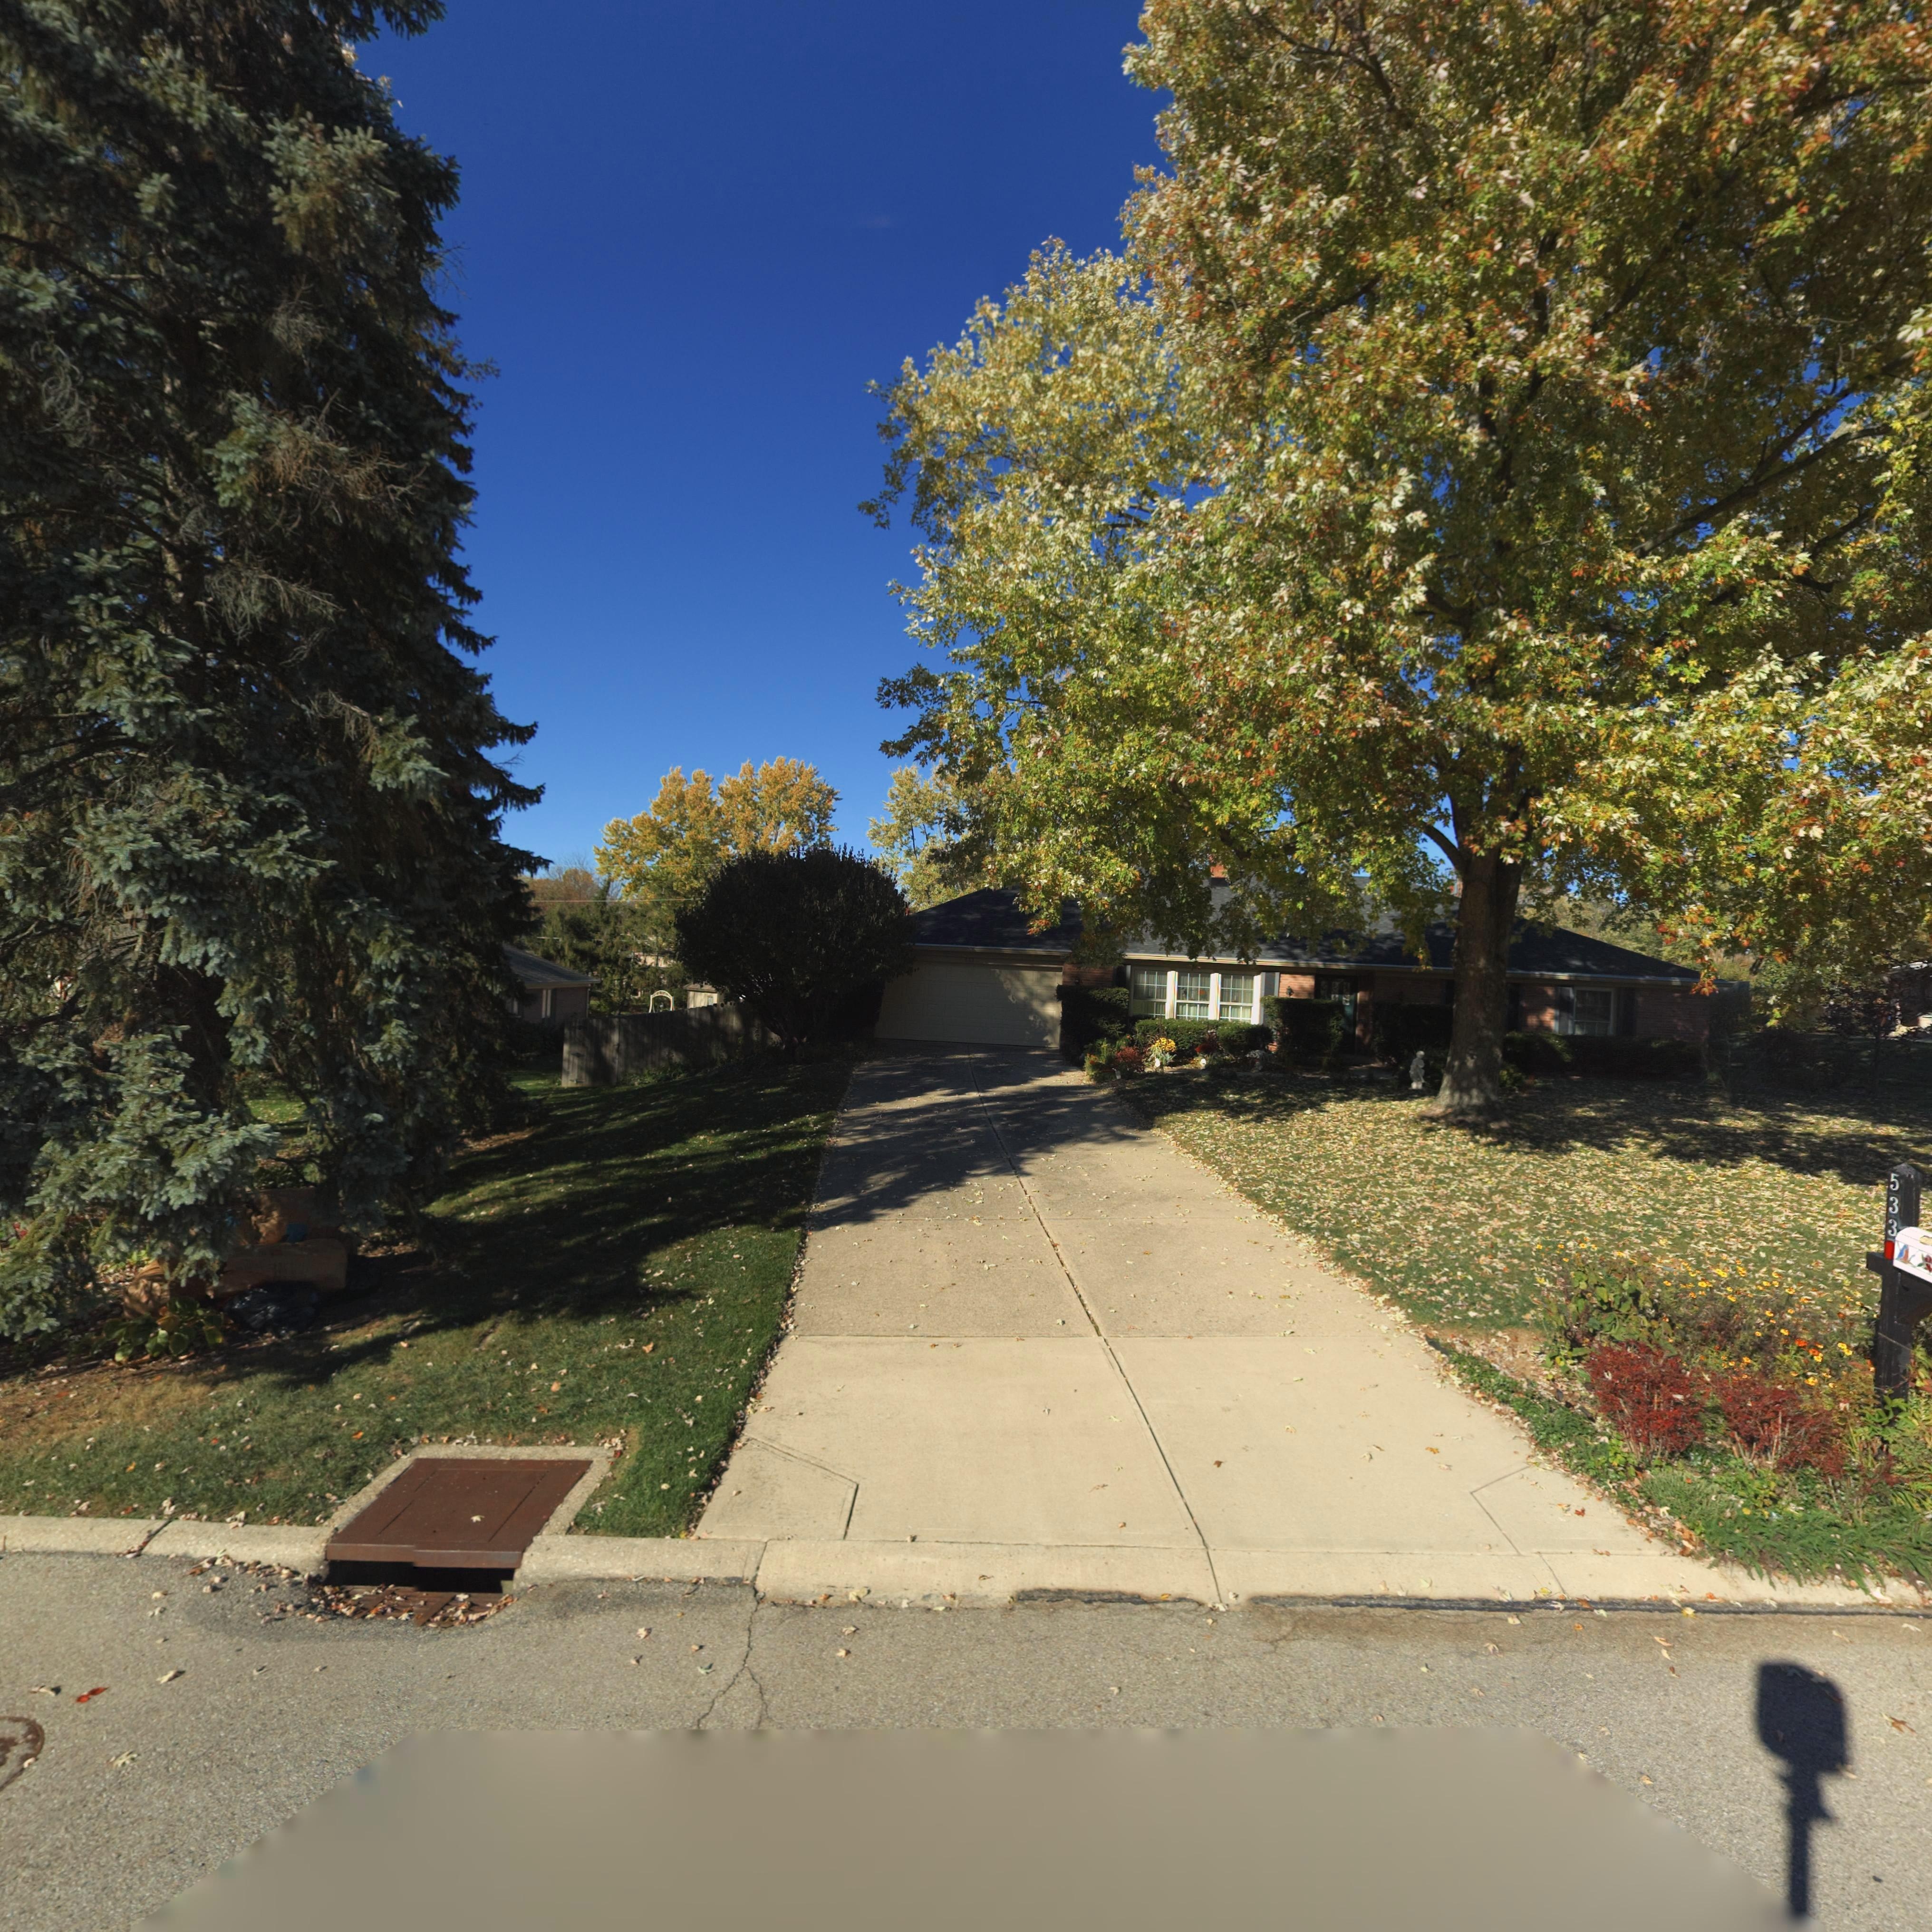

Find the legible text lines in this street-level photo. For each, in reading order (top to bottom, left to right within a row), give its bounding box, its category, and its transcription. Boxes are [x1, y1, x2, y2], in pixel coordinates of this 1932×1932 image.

[1886, 1170, 1903, 1238] StreetNumber: 533